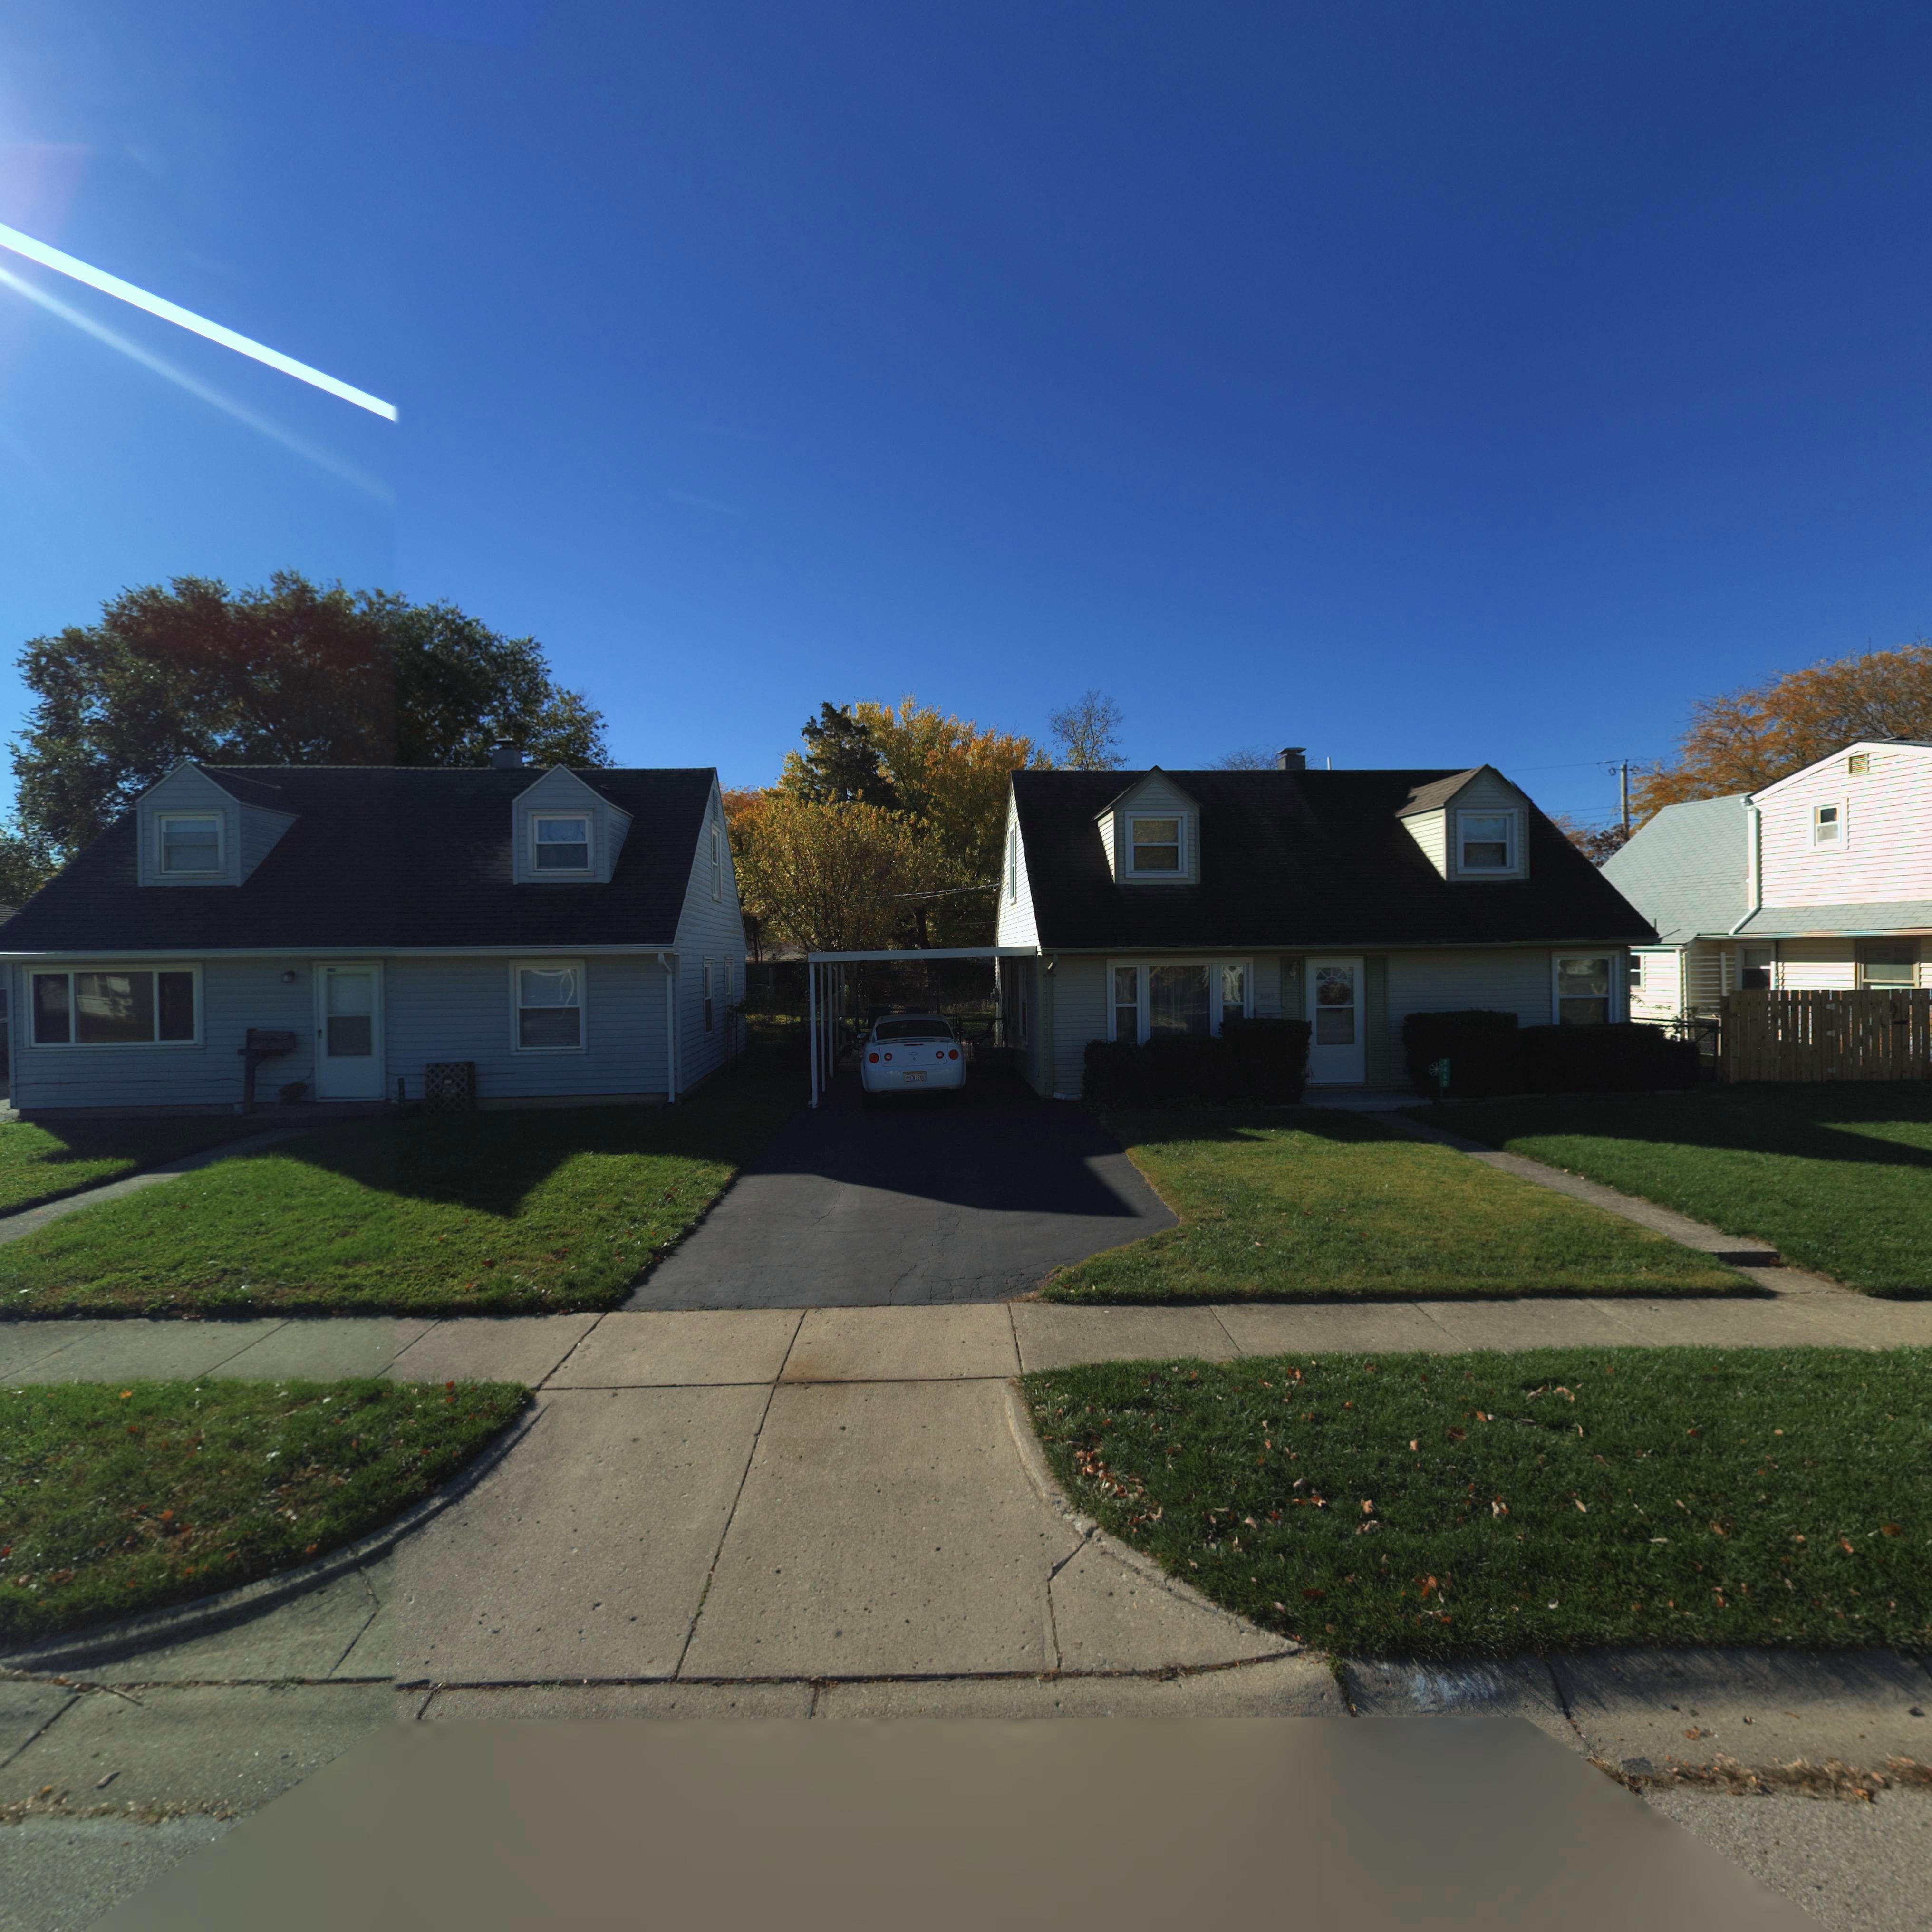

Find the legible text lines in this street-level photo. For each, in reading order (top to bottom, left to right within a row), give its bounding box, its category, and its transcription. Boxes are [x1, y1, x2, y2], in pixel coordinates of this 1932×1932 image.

[1442, 1058, 1448, 1087] StreetNumber: 2460